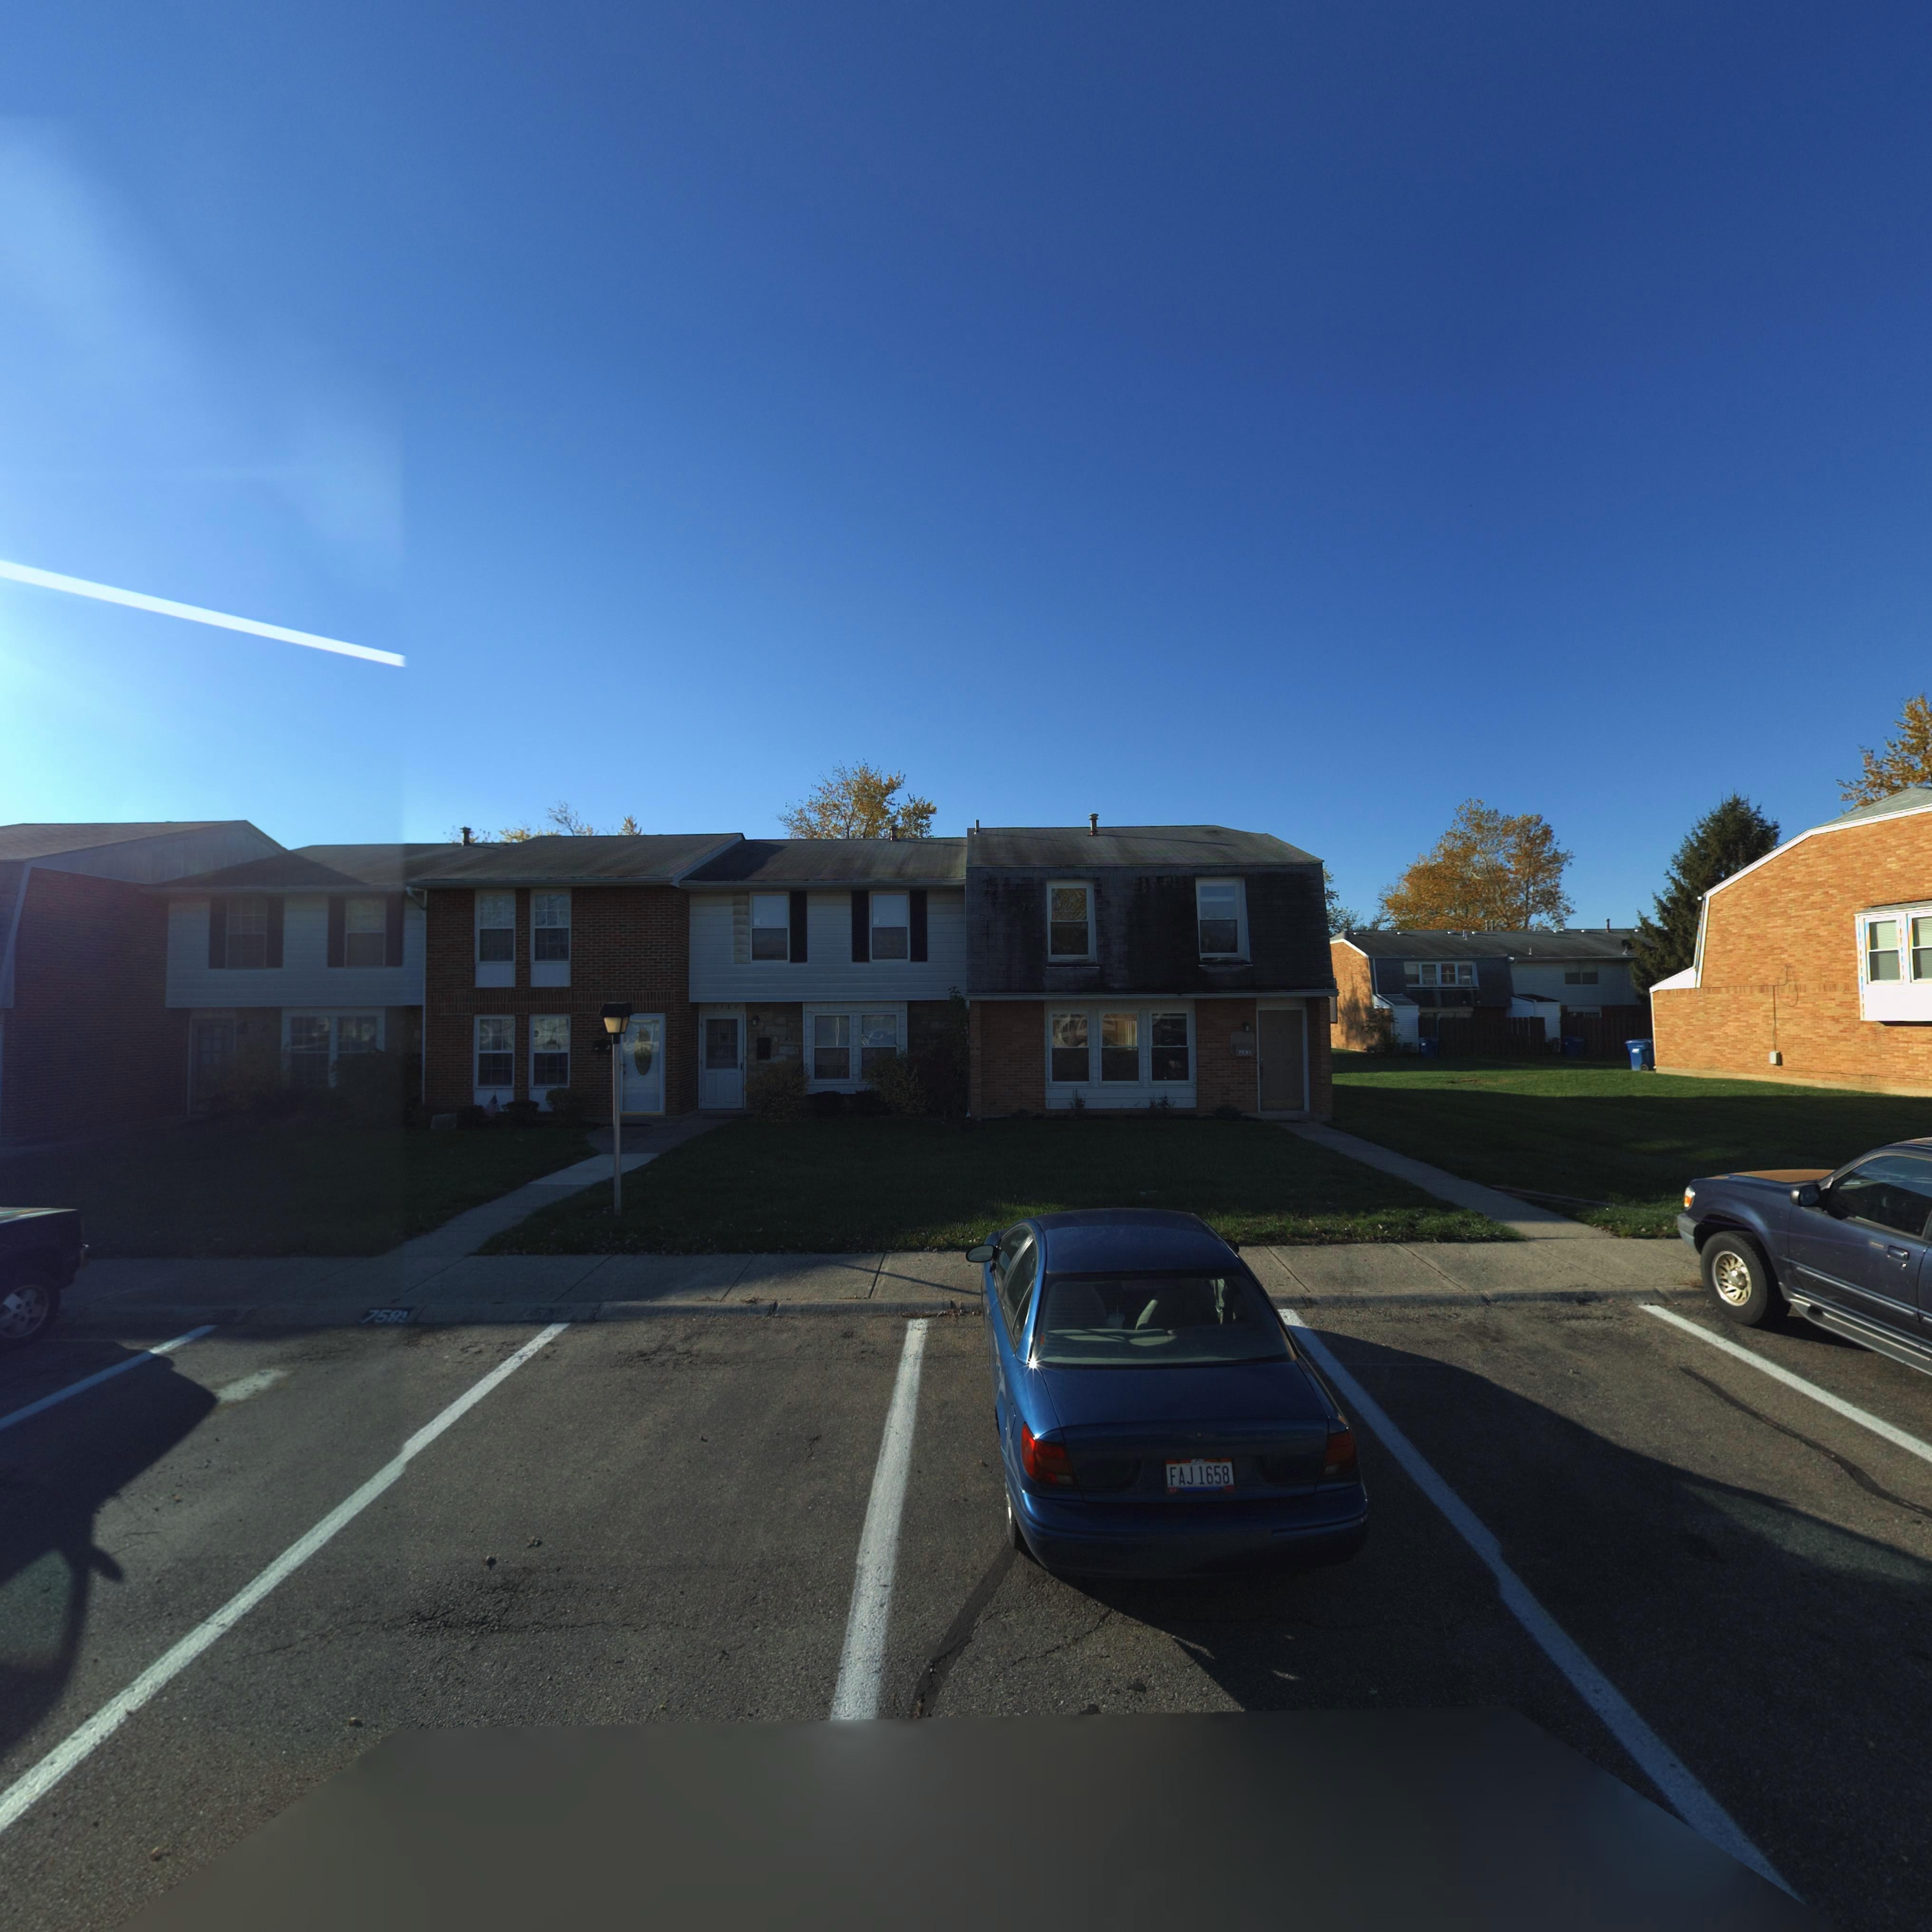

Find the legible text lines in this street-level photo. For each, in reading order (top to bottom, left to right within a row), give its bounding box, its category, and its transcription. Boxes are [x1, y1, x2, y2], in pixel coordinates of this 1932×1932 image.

[712, 1004, 738, 1010] StreetNumber: 7589
[1238, 1050, 1251, 1055] StreetNumber: 7591
[358, 1309, 410, 1324] StreetNumber: 758*